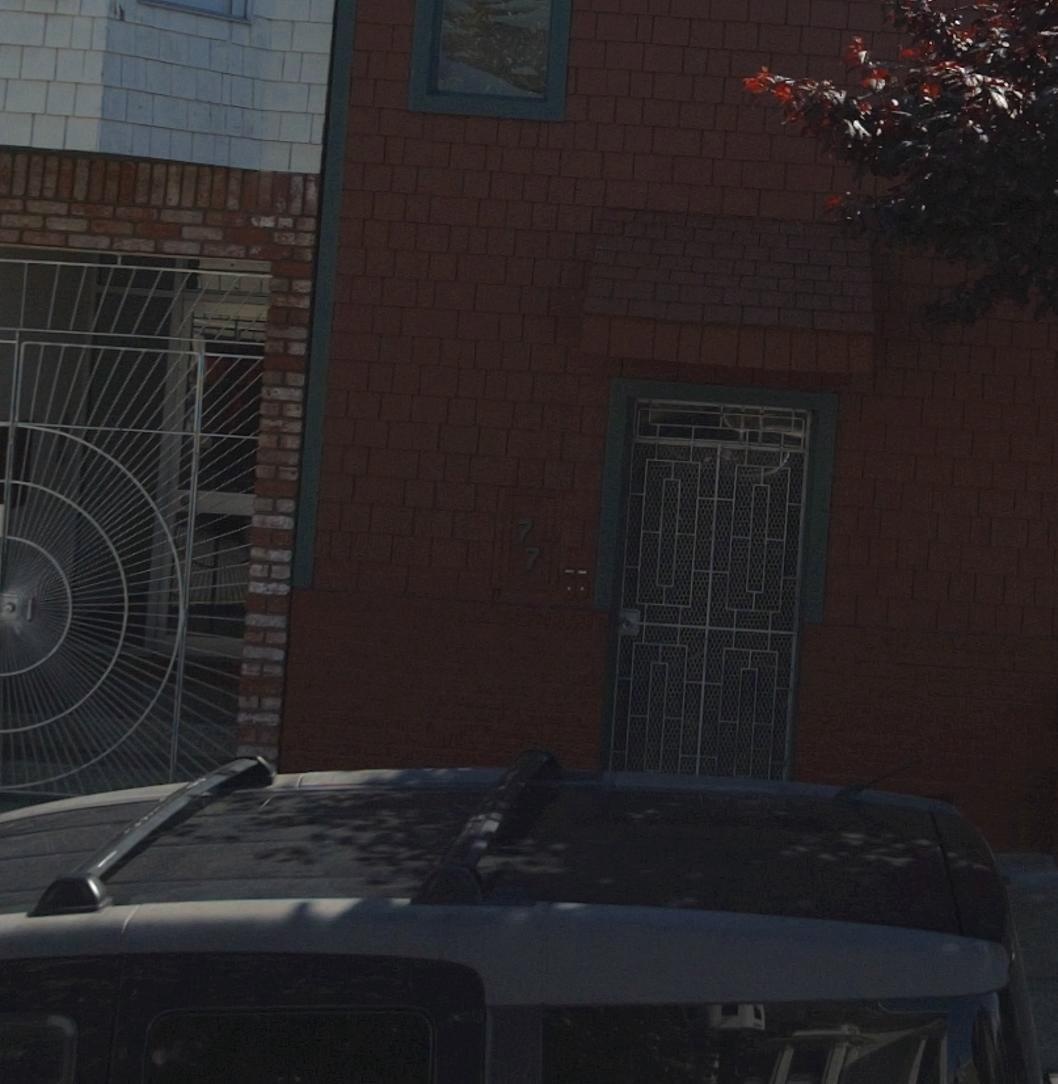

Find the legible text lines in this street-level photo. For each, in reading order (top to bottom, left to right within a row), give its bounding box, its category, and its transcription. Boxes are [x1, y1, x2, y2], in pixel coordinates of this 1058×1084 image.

[515, 515, 543, 574] StreetNumber: 77